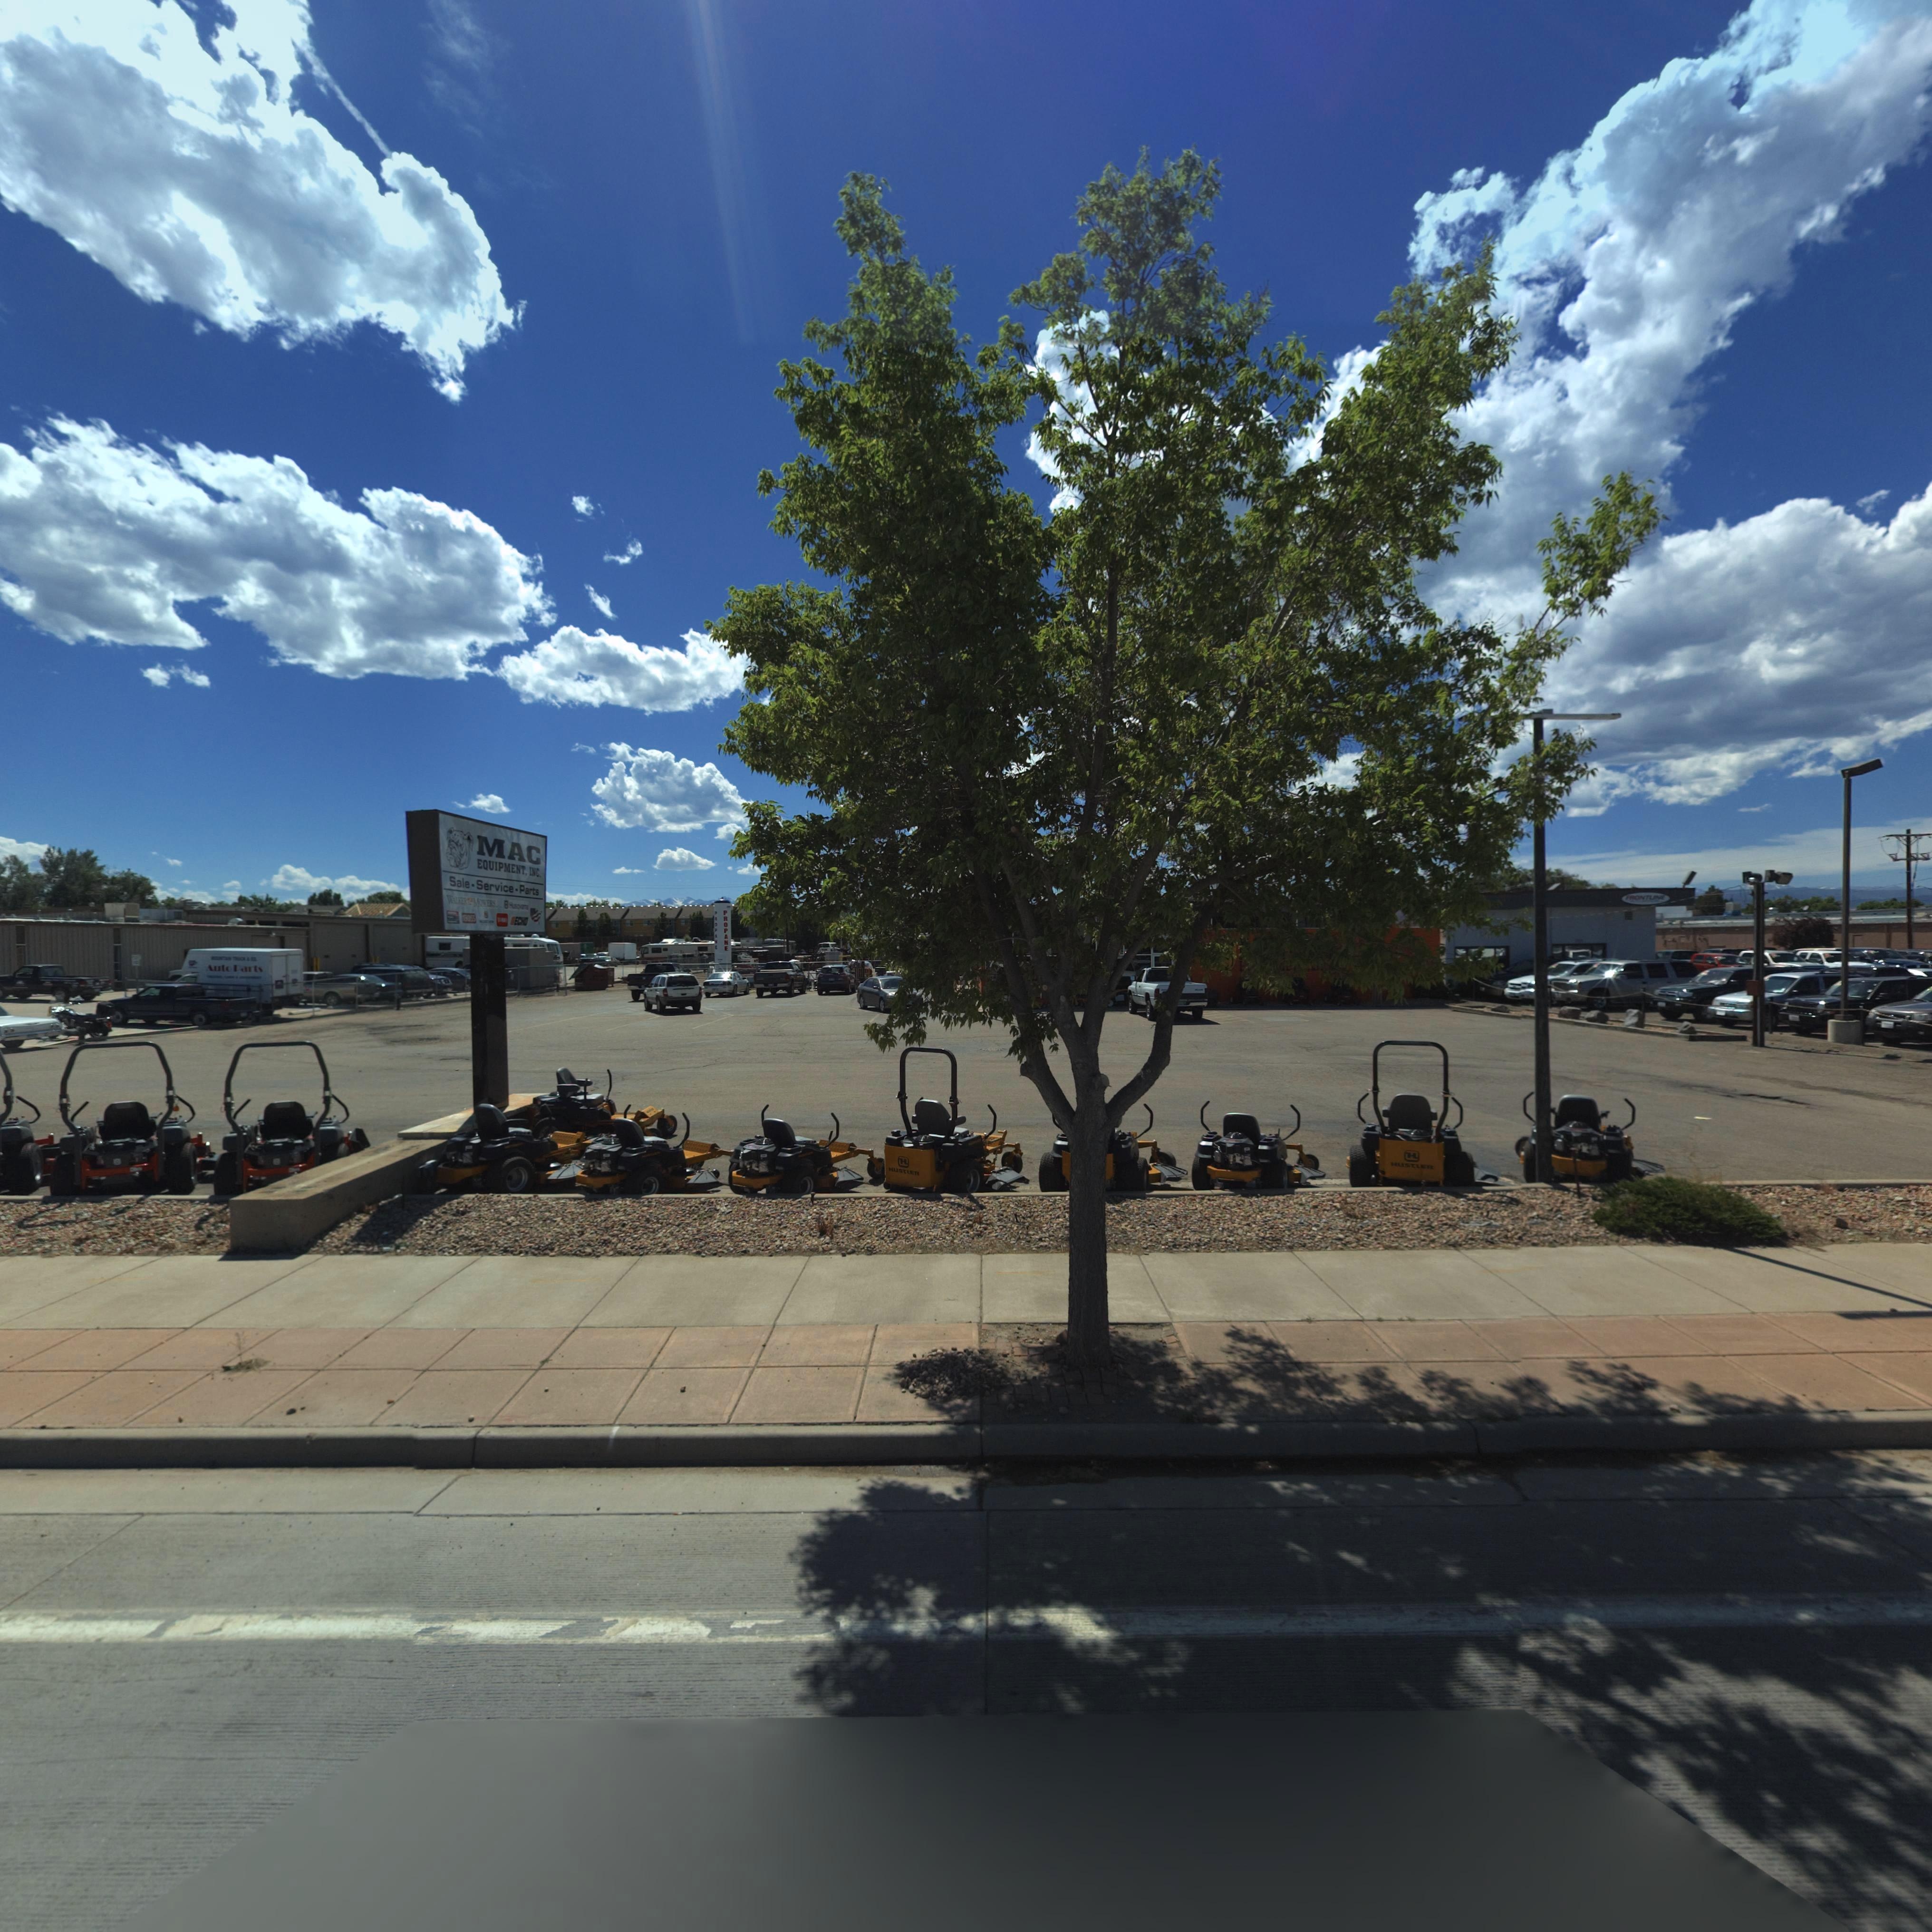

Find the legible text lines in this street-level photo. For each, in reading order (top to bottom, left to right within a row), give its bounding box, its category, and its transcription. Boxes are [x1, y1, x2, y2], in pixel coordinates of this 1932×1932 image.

[476, 834, 541, 865] BusinessName: MAC
[477, 858, 540, 877] BusinessName: EQUIPMENT.INC
[1625, 895, 1665, 899] BusinessName: FRONTLINE